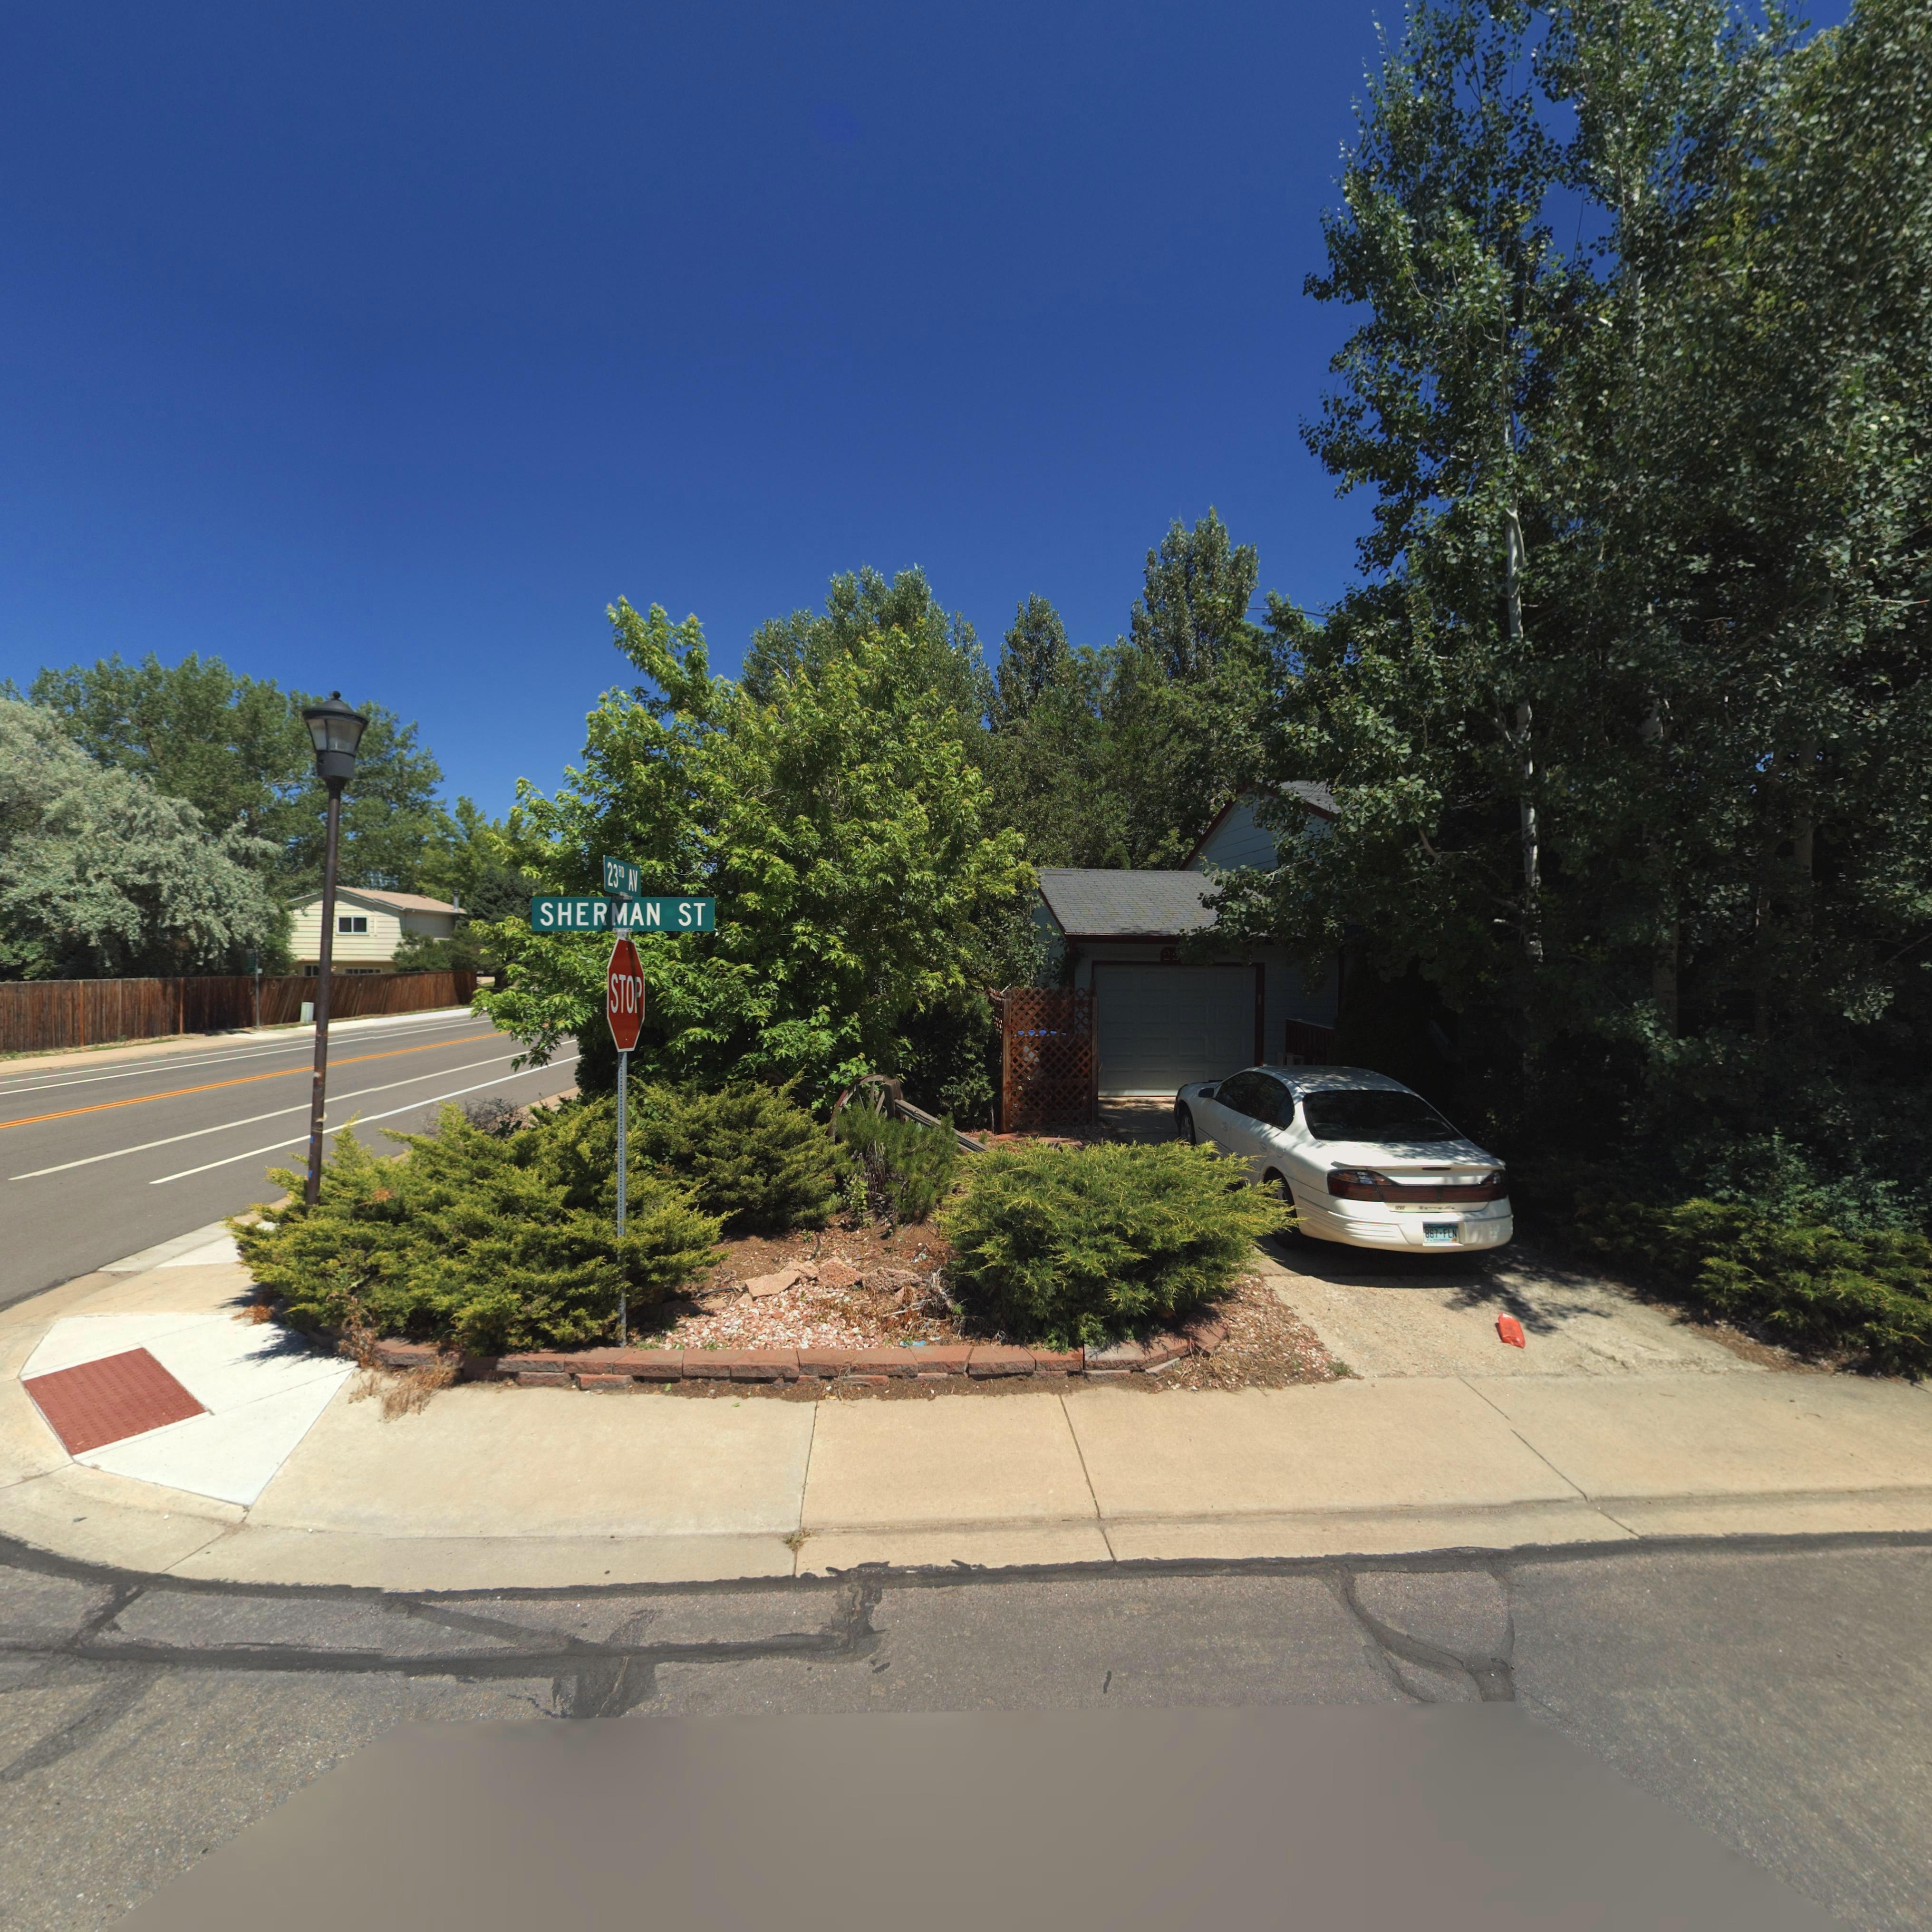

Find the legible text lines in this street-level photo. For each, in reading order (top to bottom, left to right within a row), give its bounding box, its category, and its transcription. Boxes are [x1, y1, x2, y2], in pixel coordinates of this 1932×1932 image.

[606, 860, 640, 894] StreetName: 23RD AV
[539, 902, 706, 927] StreetName: SHERMAN ST
[1162, 948, 1180, 960] StreetNumber: 2*